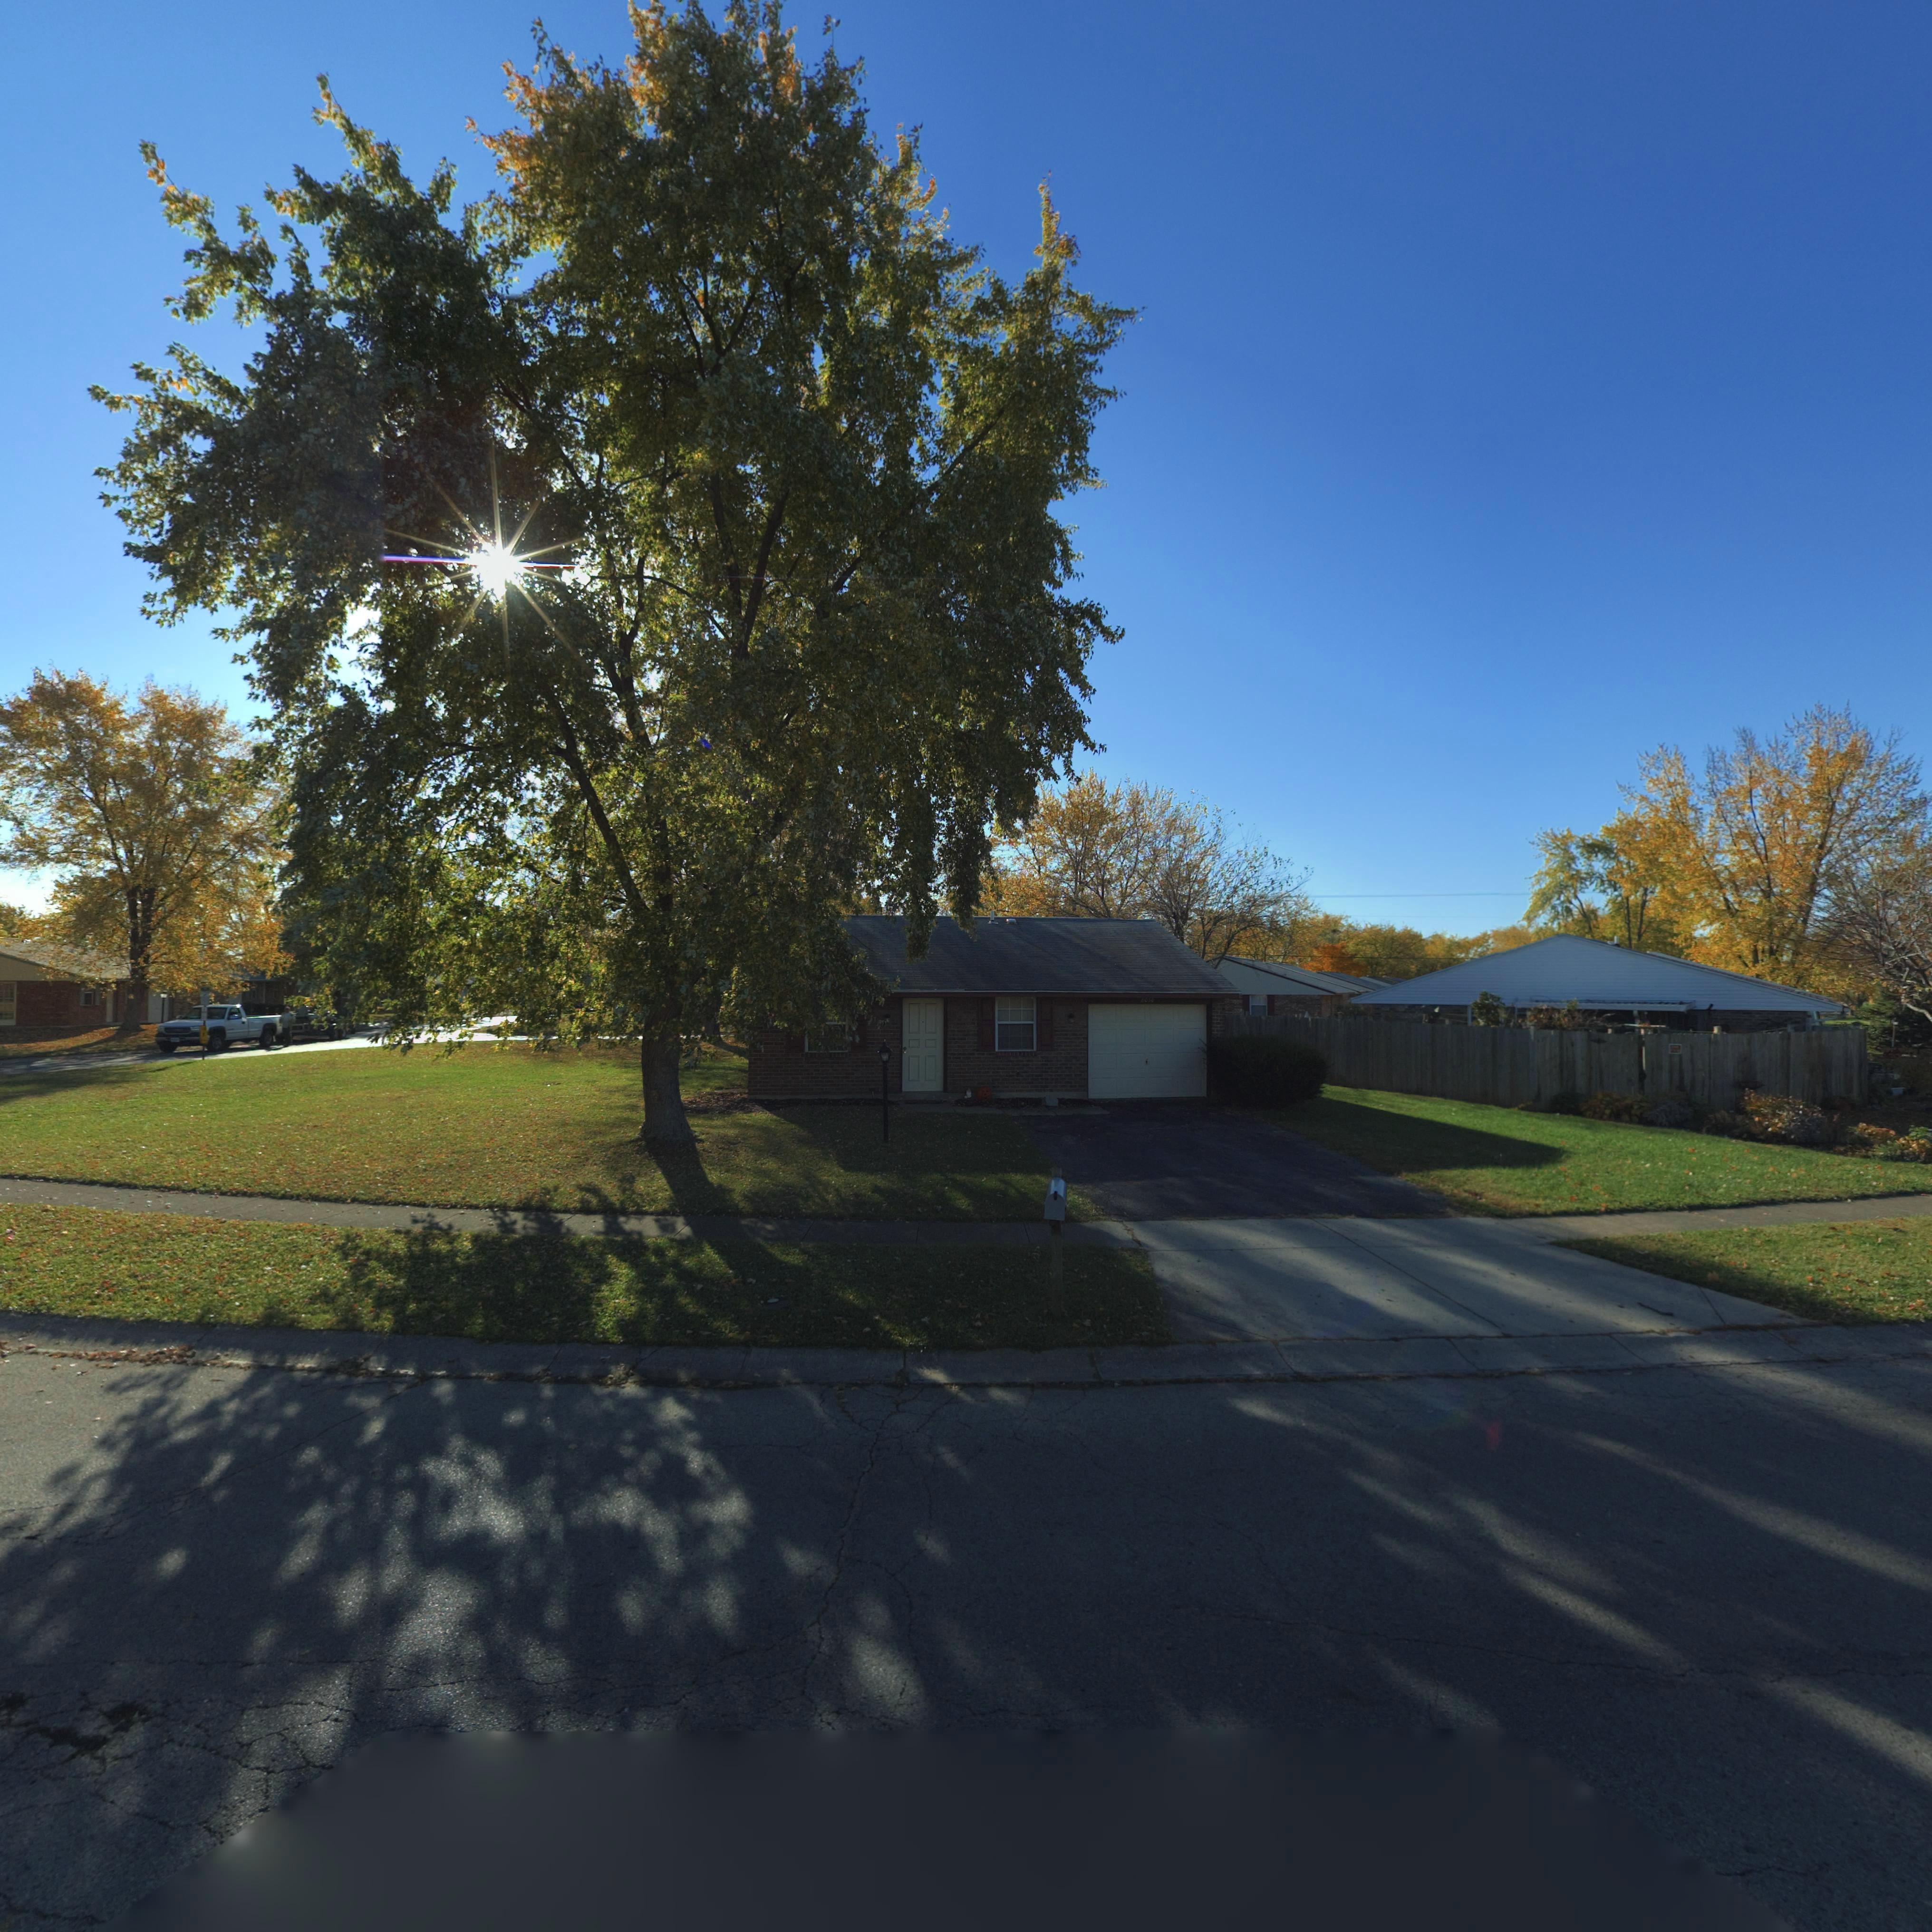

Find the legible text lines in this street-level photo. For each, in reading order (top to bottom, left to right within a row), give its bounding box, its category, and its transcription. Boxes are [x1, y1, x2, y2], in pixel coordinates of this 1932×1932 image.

[1140, 997, 1156, 1004] StreetNumber: *0*0